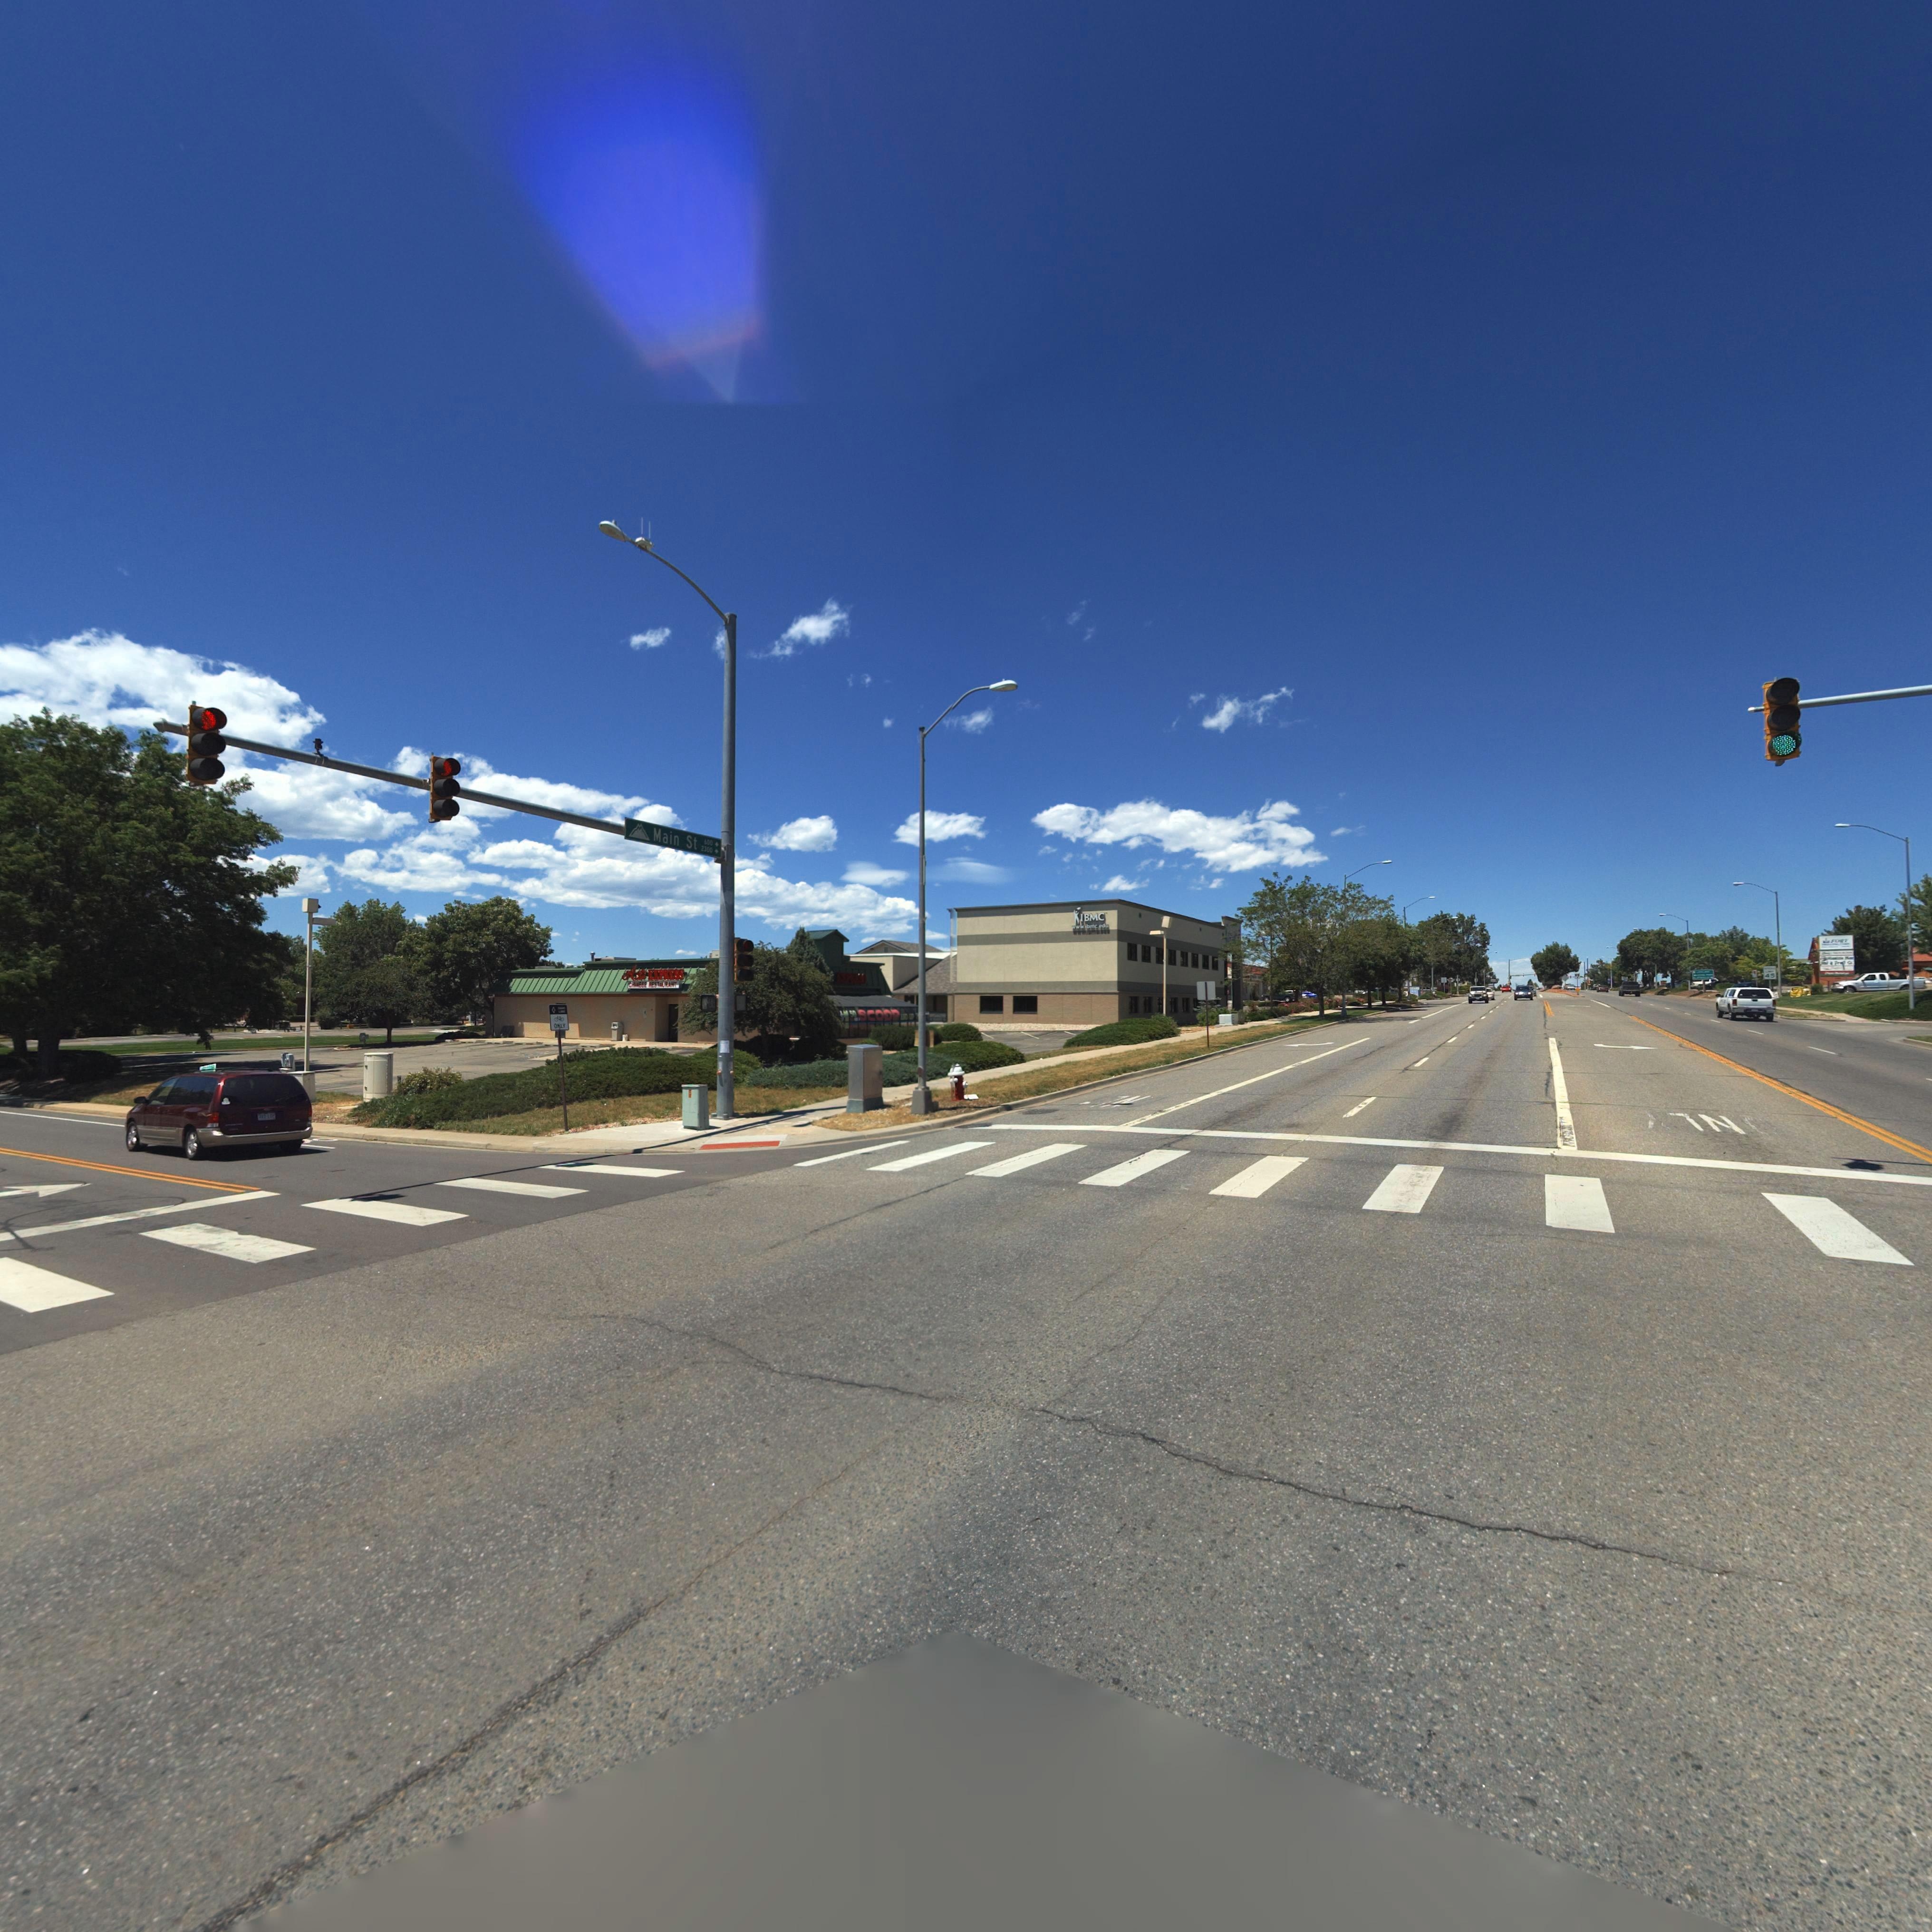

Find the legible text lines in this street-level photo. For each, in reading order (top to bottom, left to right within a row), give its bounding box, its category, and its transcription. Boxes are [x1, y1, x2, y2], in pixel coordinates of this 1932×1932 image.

[653, 827, 697, 850] StreetName: Main St
[704, 839, 713, 846] StreetNumberRange: 600
[700, 845, 720, 854] StreetNumberRange: 2300->
[1080, 912, 1104, 922] BusinessName: IBMC
[621, 964, 684, 981] BusinessName: Ali EXPRESS
[836, 972, 867, 984] BusinessName: EXPRESS